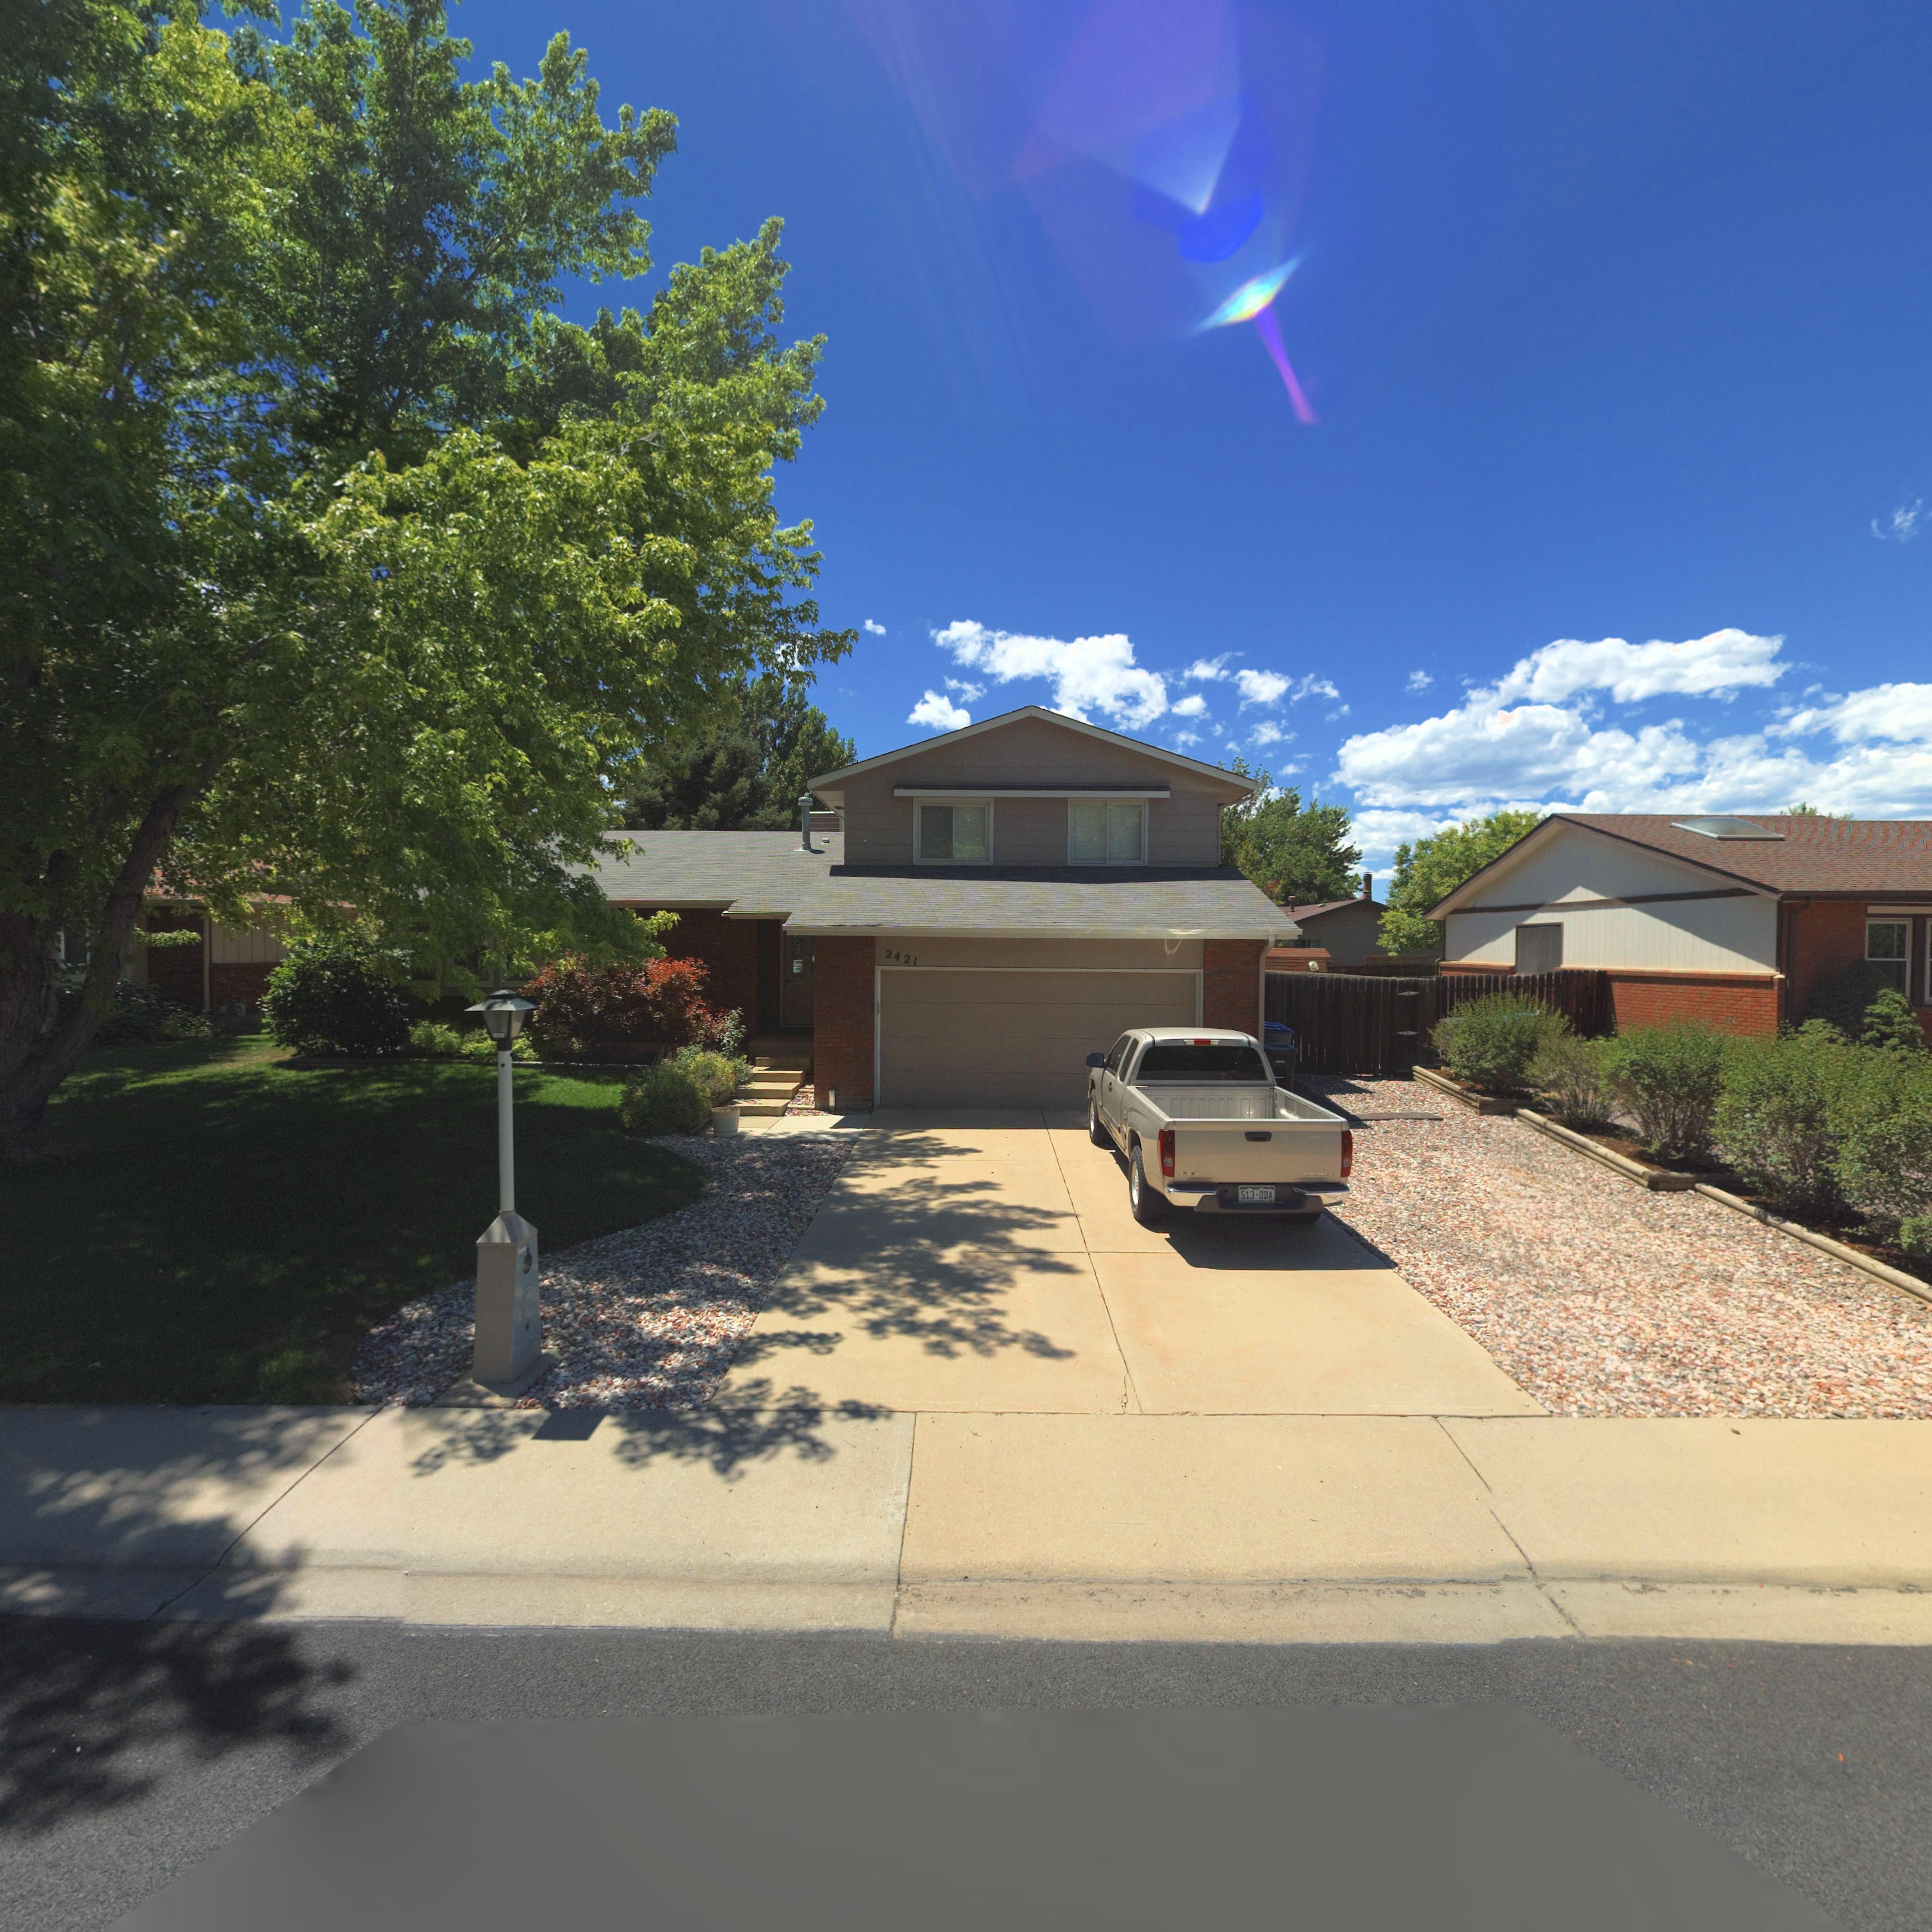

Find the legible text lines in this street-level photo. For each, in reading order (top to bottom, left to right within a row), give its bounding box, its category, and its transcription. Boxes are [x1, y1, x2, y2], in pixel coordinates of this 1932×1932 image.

[885, 949, 917, 966] StreetNumber: 2421